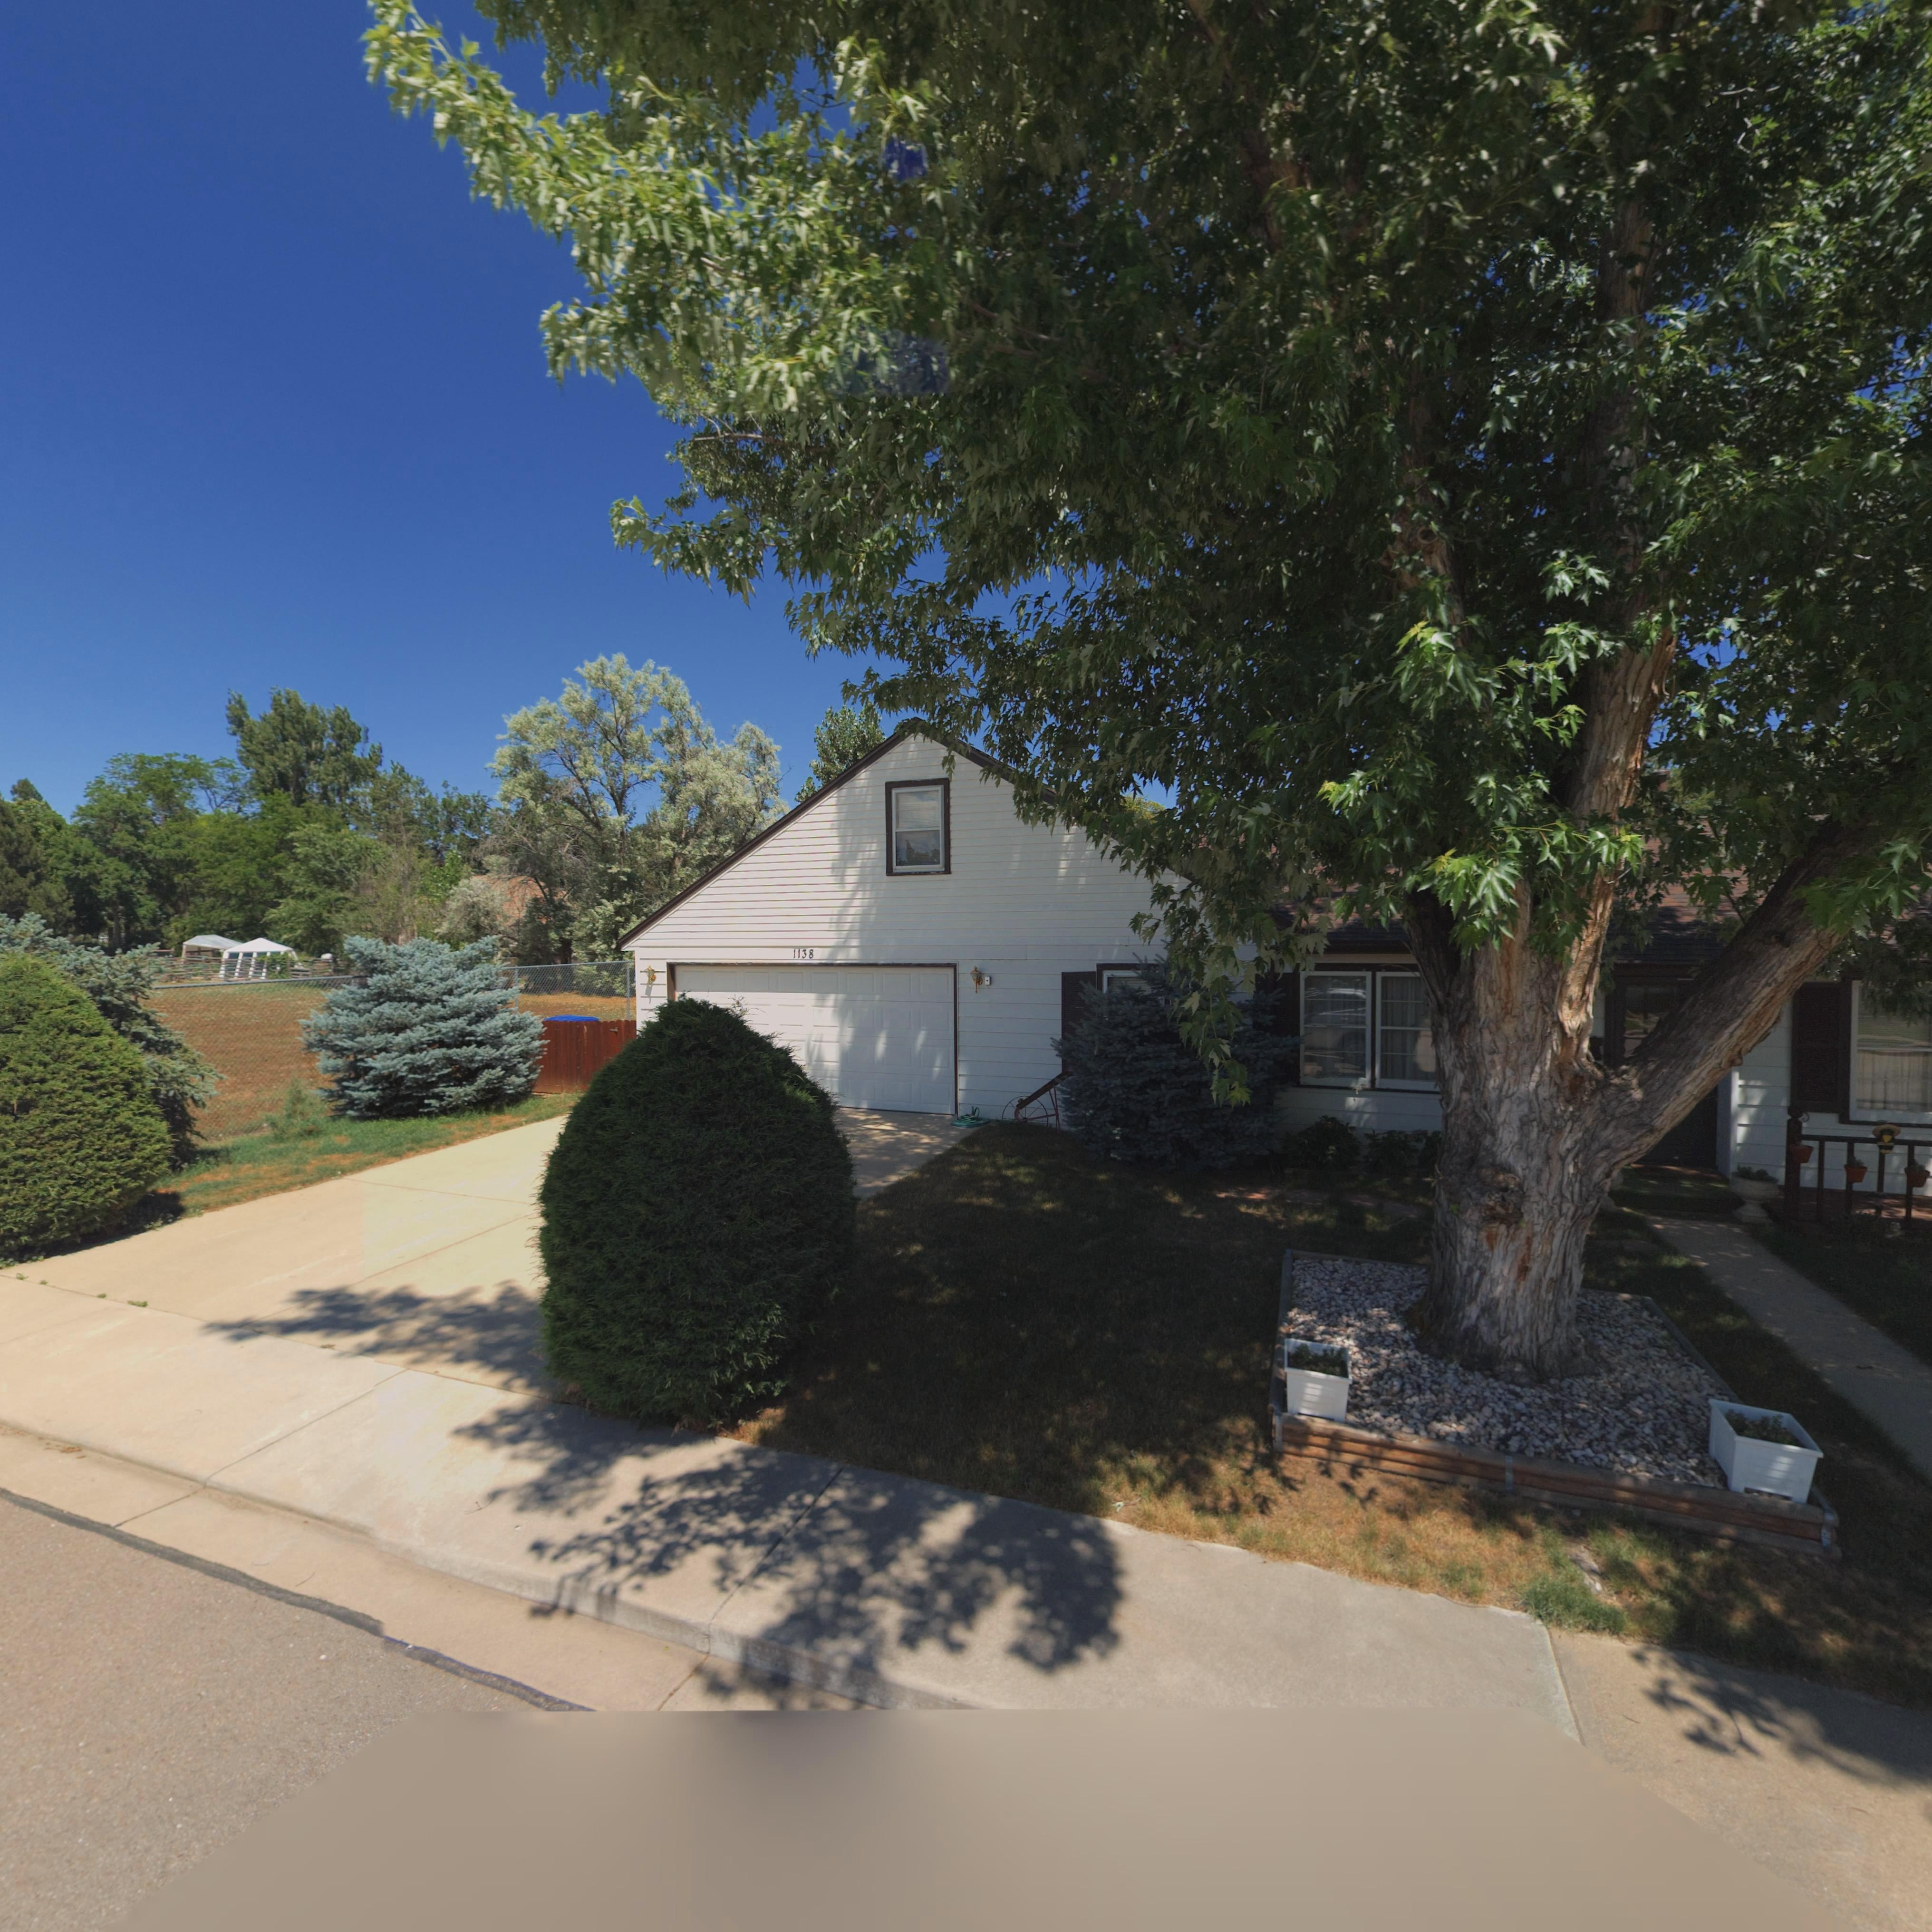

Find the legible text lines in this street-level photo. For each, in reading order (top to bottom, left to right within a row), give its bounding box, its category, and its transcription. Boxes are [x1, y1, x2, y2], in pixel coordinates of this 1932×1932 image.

[793, 948, 814, 958] StreetNumber: 1138